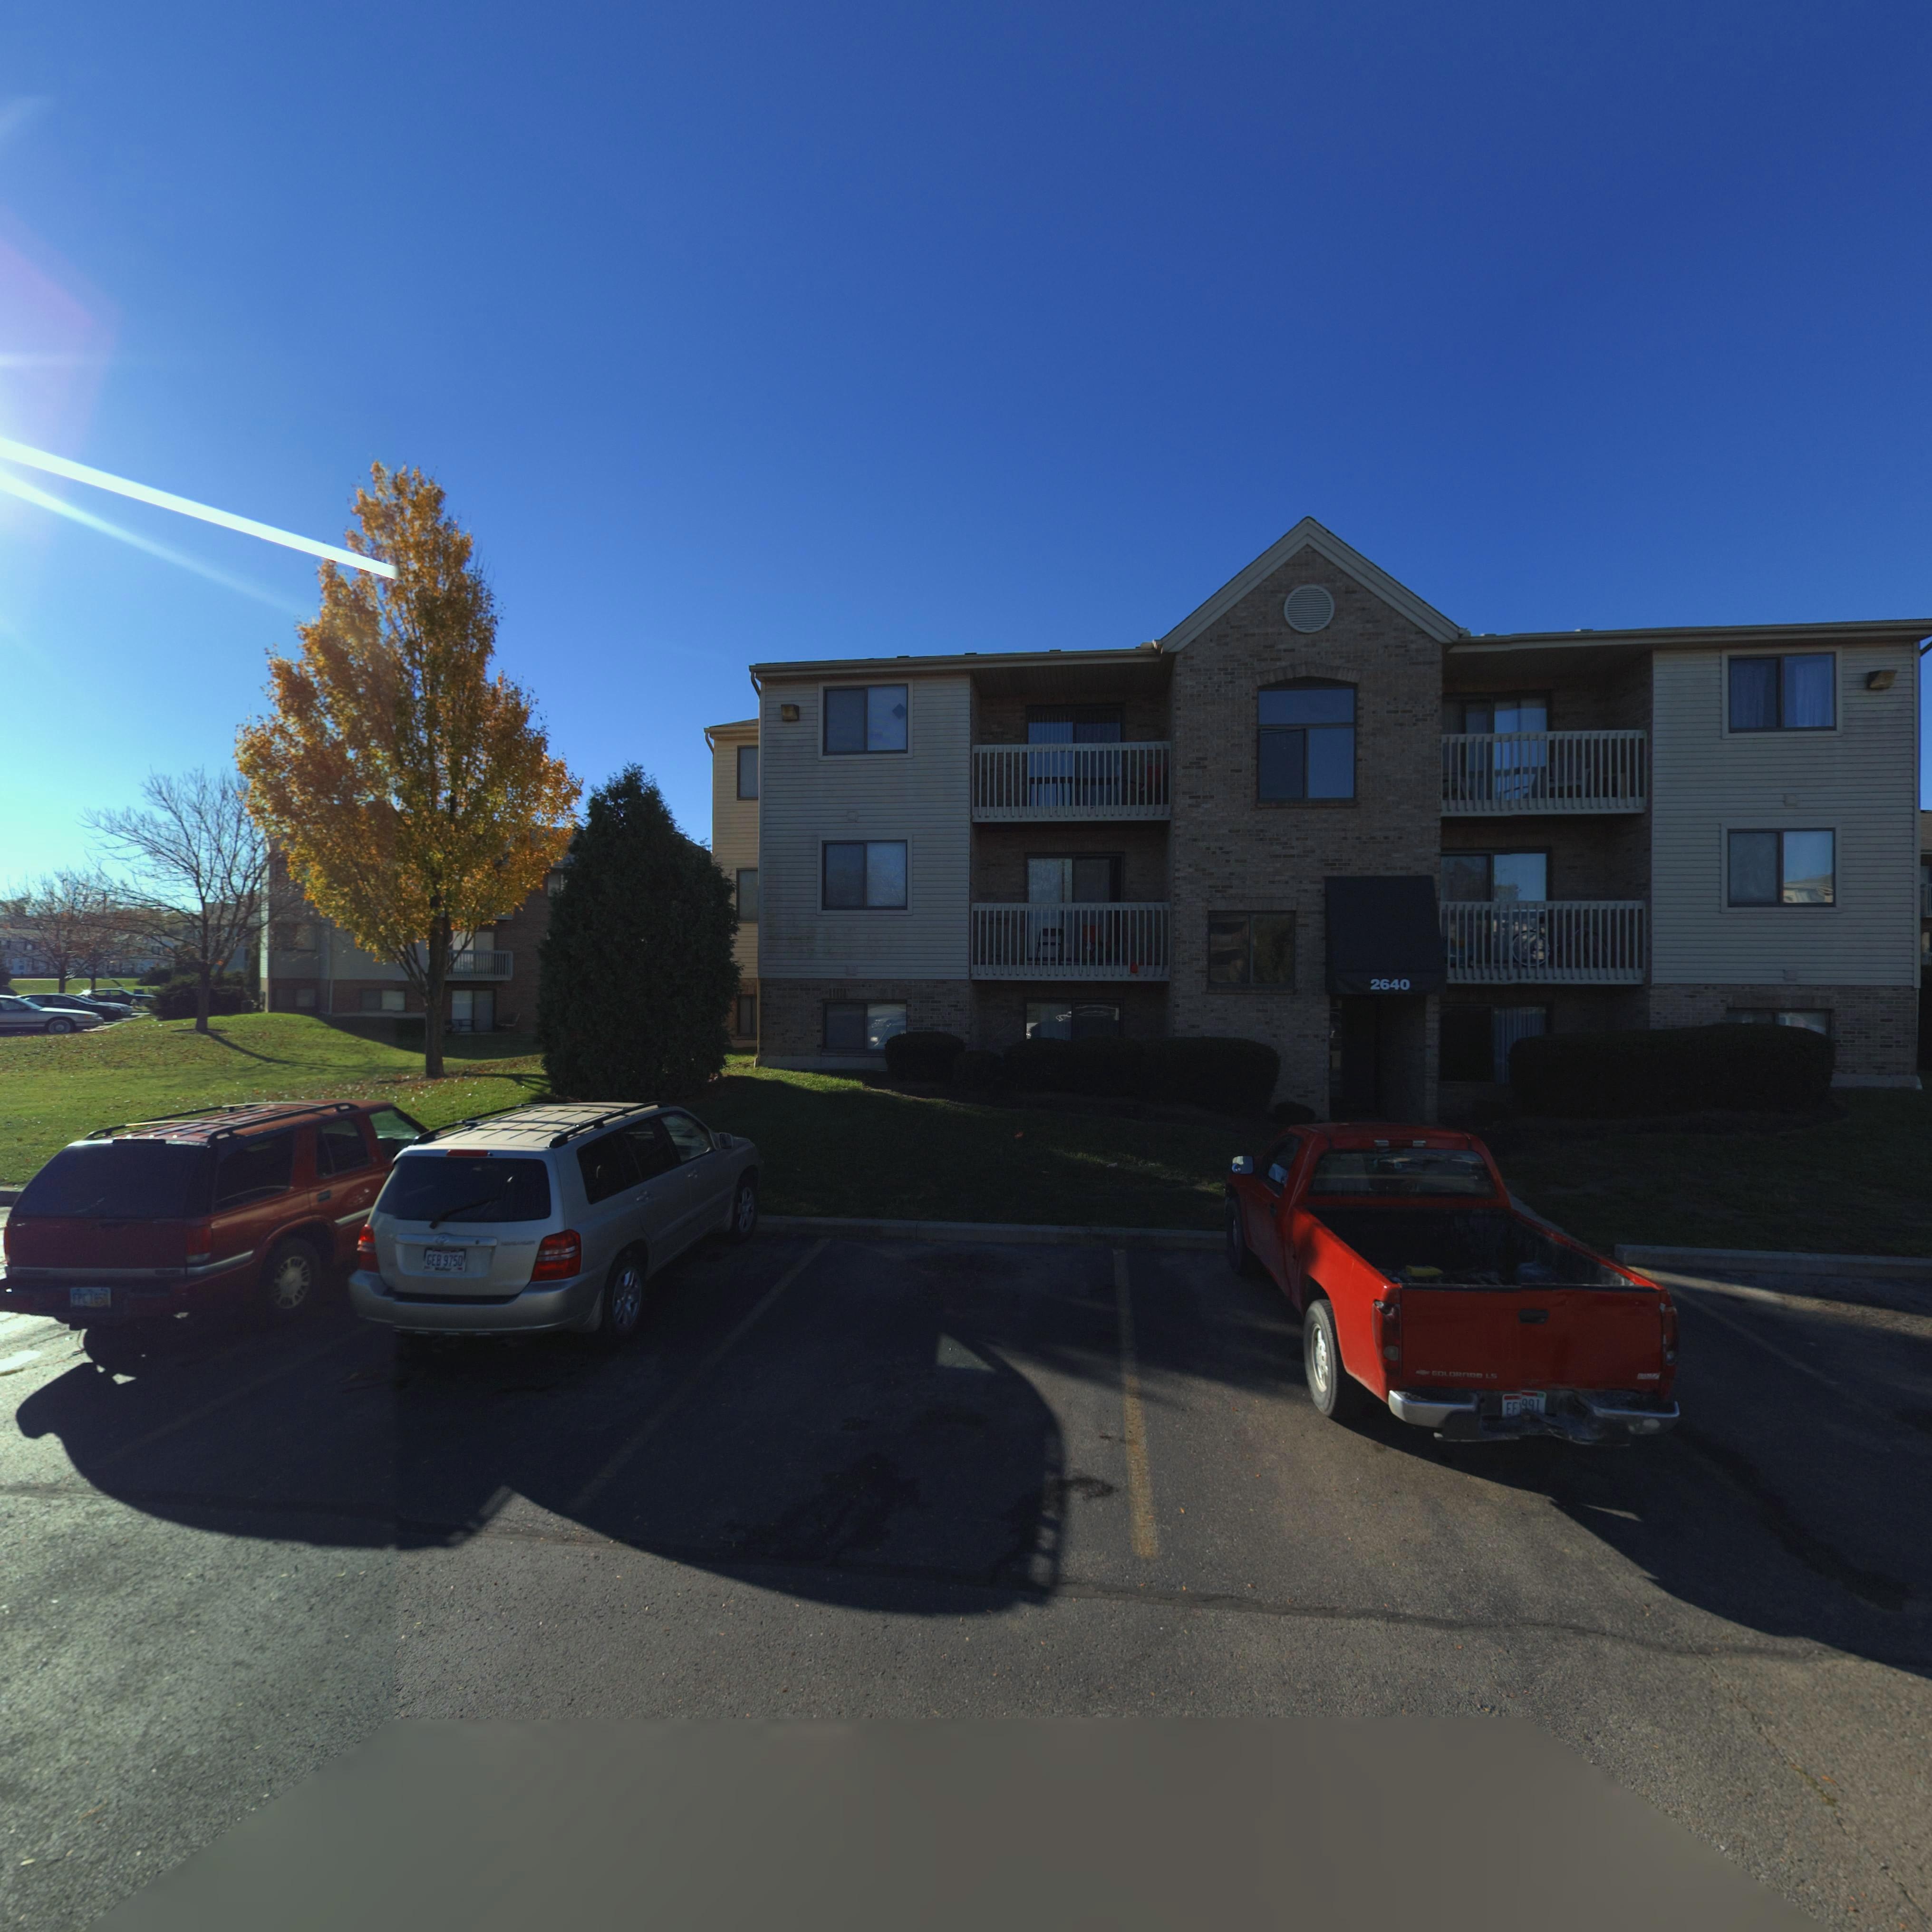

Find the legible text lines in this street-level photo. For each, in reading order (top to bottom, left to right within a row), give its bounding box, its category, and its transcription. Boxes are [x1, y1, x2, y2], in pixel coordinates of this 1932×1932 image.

[1369, 976, 1412, 992] StreetNumber: 2640